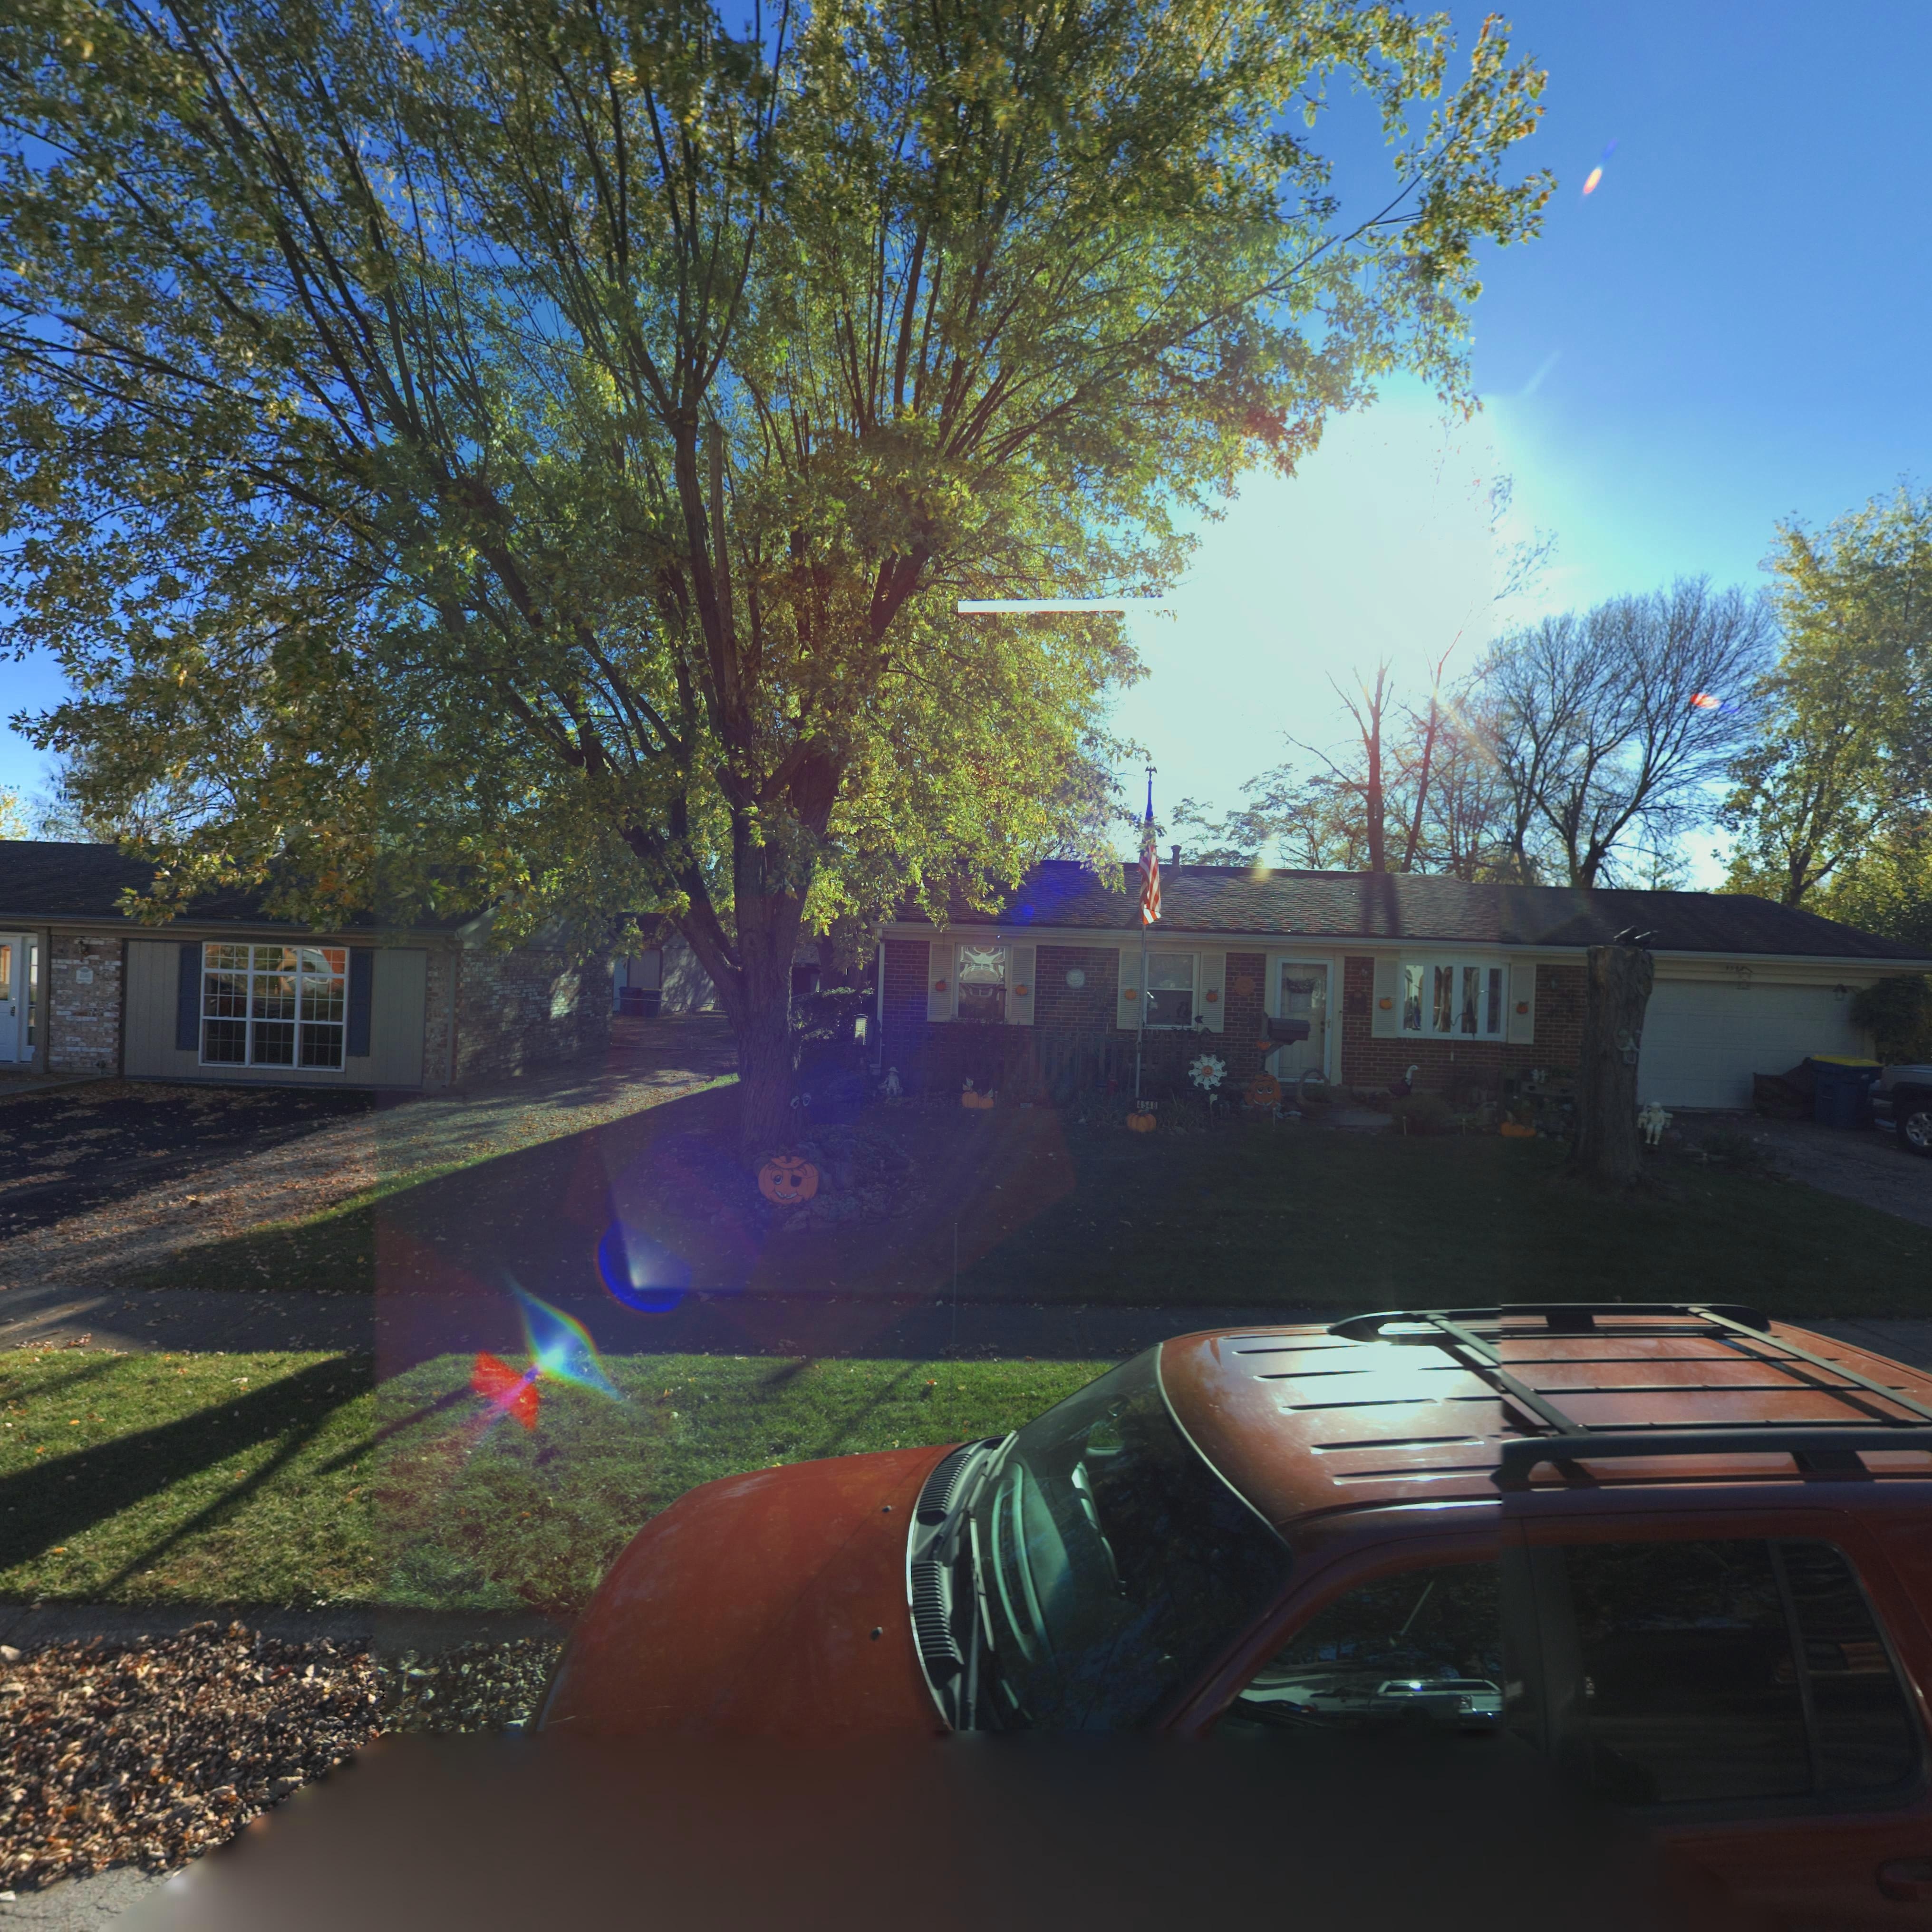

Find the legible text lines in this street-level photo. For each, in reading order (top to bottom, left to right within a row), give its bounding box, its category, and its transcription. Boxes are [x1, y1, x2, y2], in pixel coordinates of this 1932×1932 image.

[1724, 964, 1746, 973] StreetNumber: 454*
[78, 972, 92, 979] StreetNumber: 4548
[1137, 1101, 1157, 1109] StreetNumber: 4548